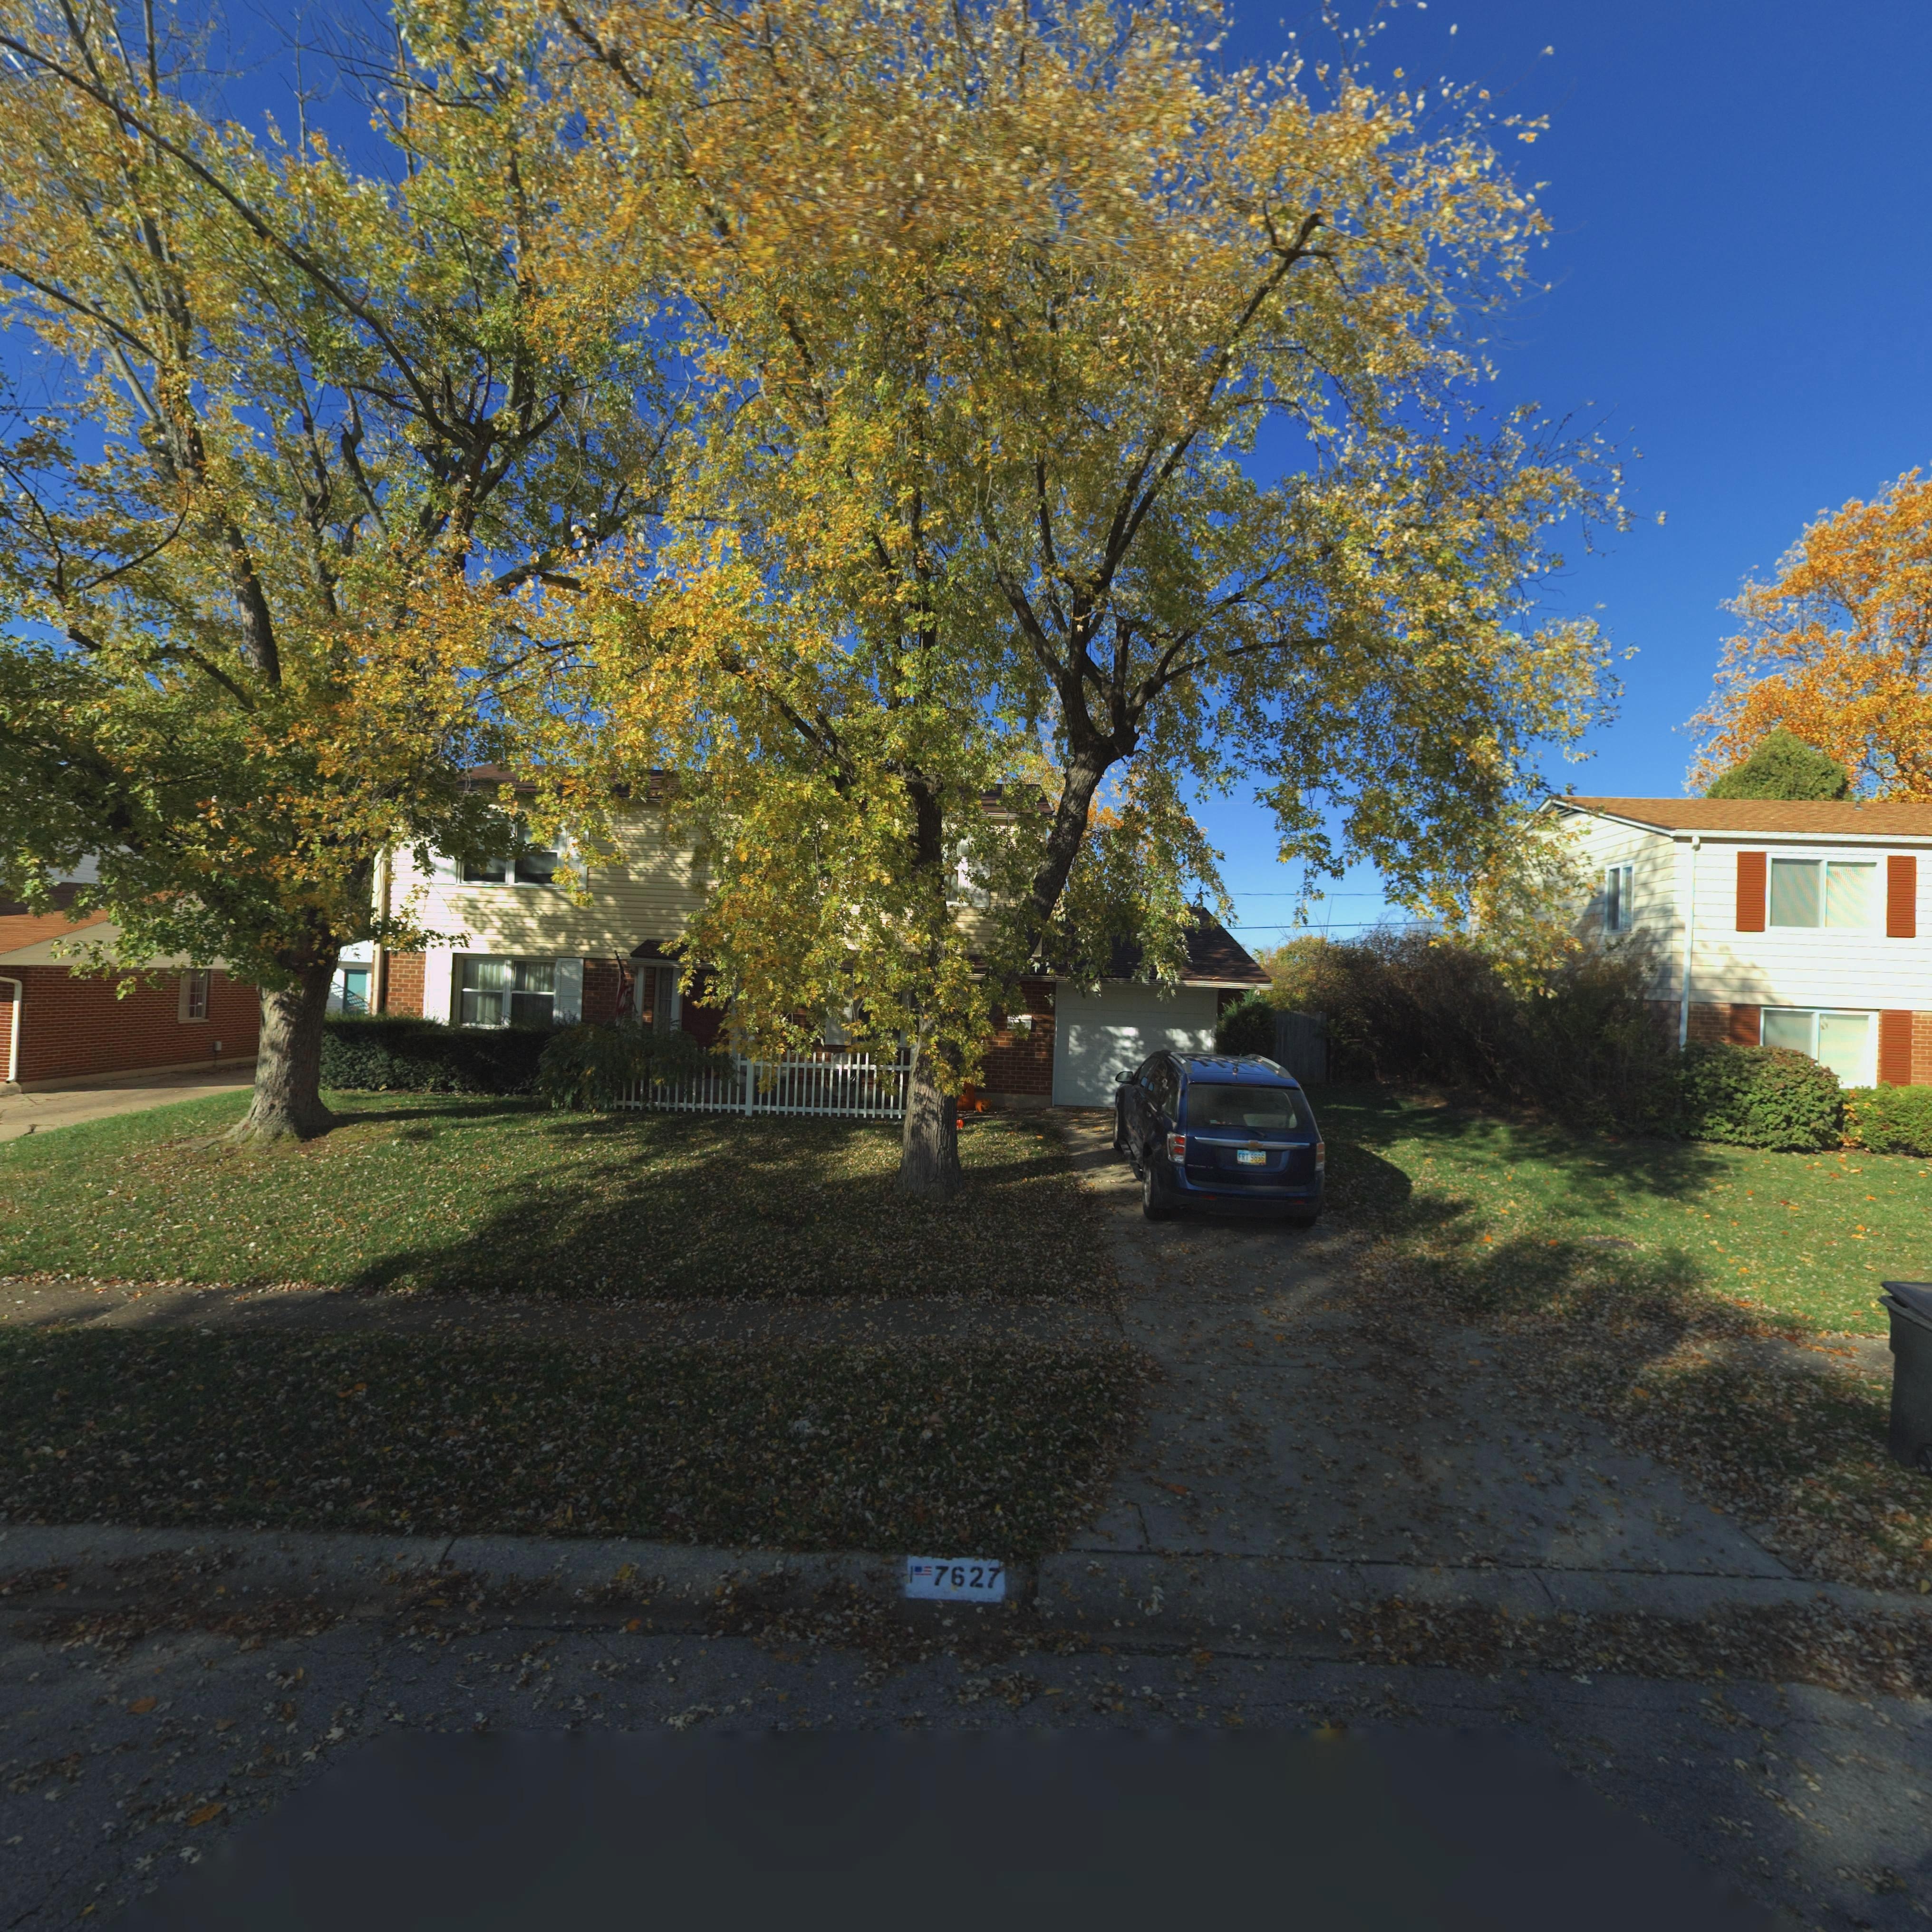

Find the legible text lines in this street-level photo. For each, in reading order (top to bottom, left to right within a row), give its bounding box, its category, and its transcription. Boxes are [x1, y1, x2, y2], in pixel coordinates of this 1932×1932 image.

[932, 1564, 1004, 1590] StreetNumber: 7627